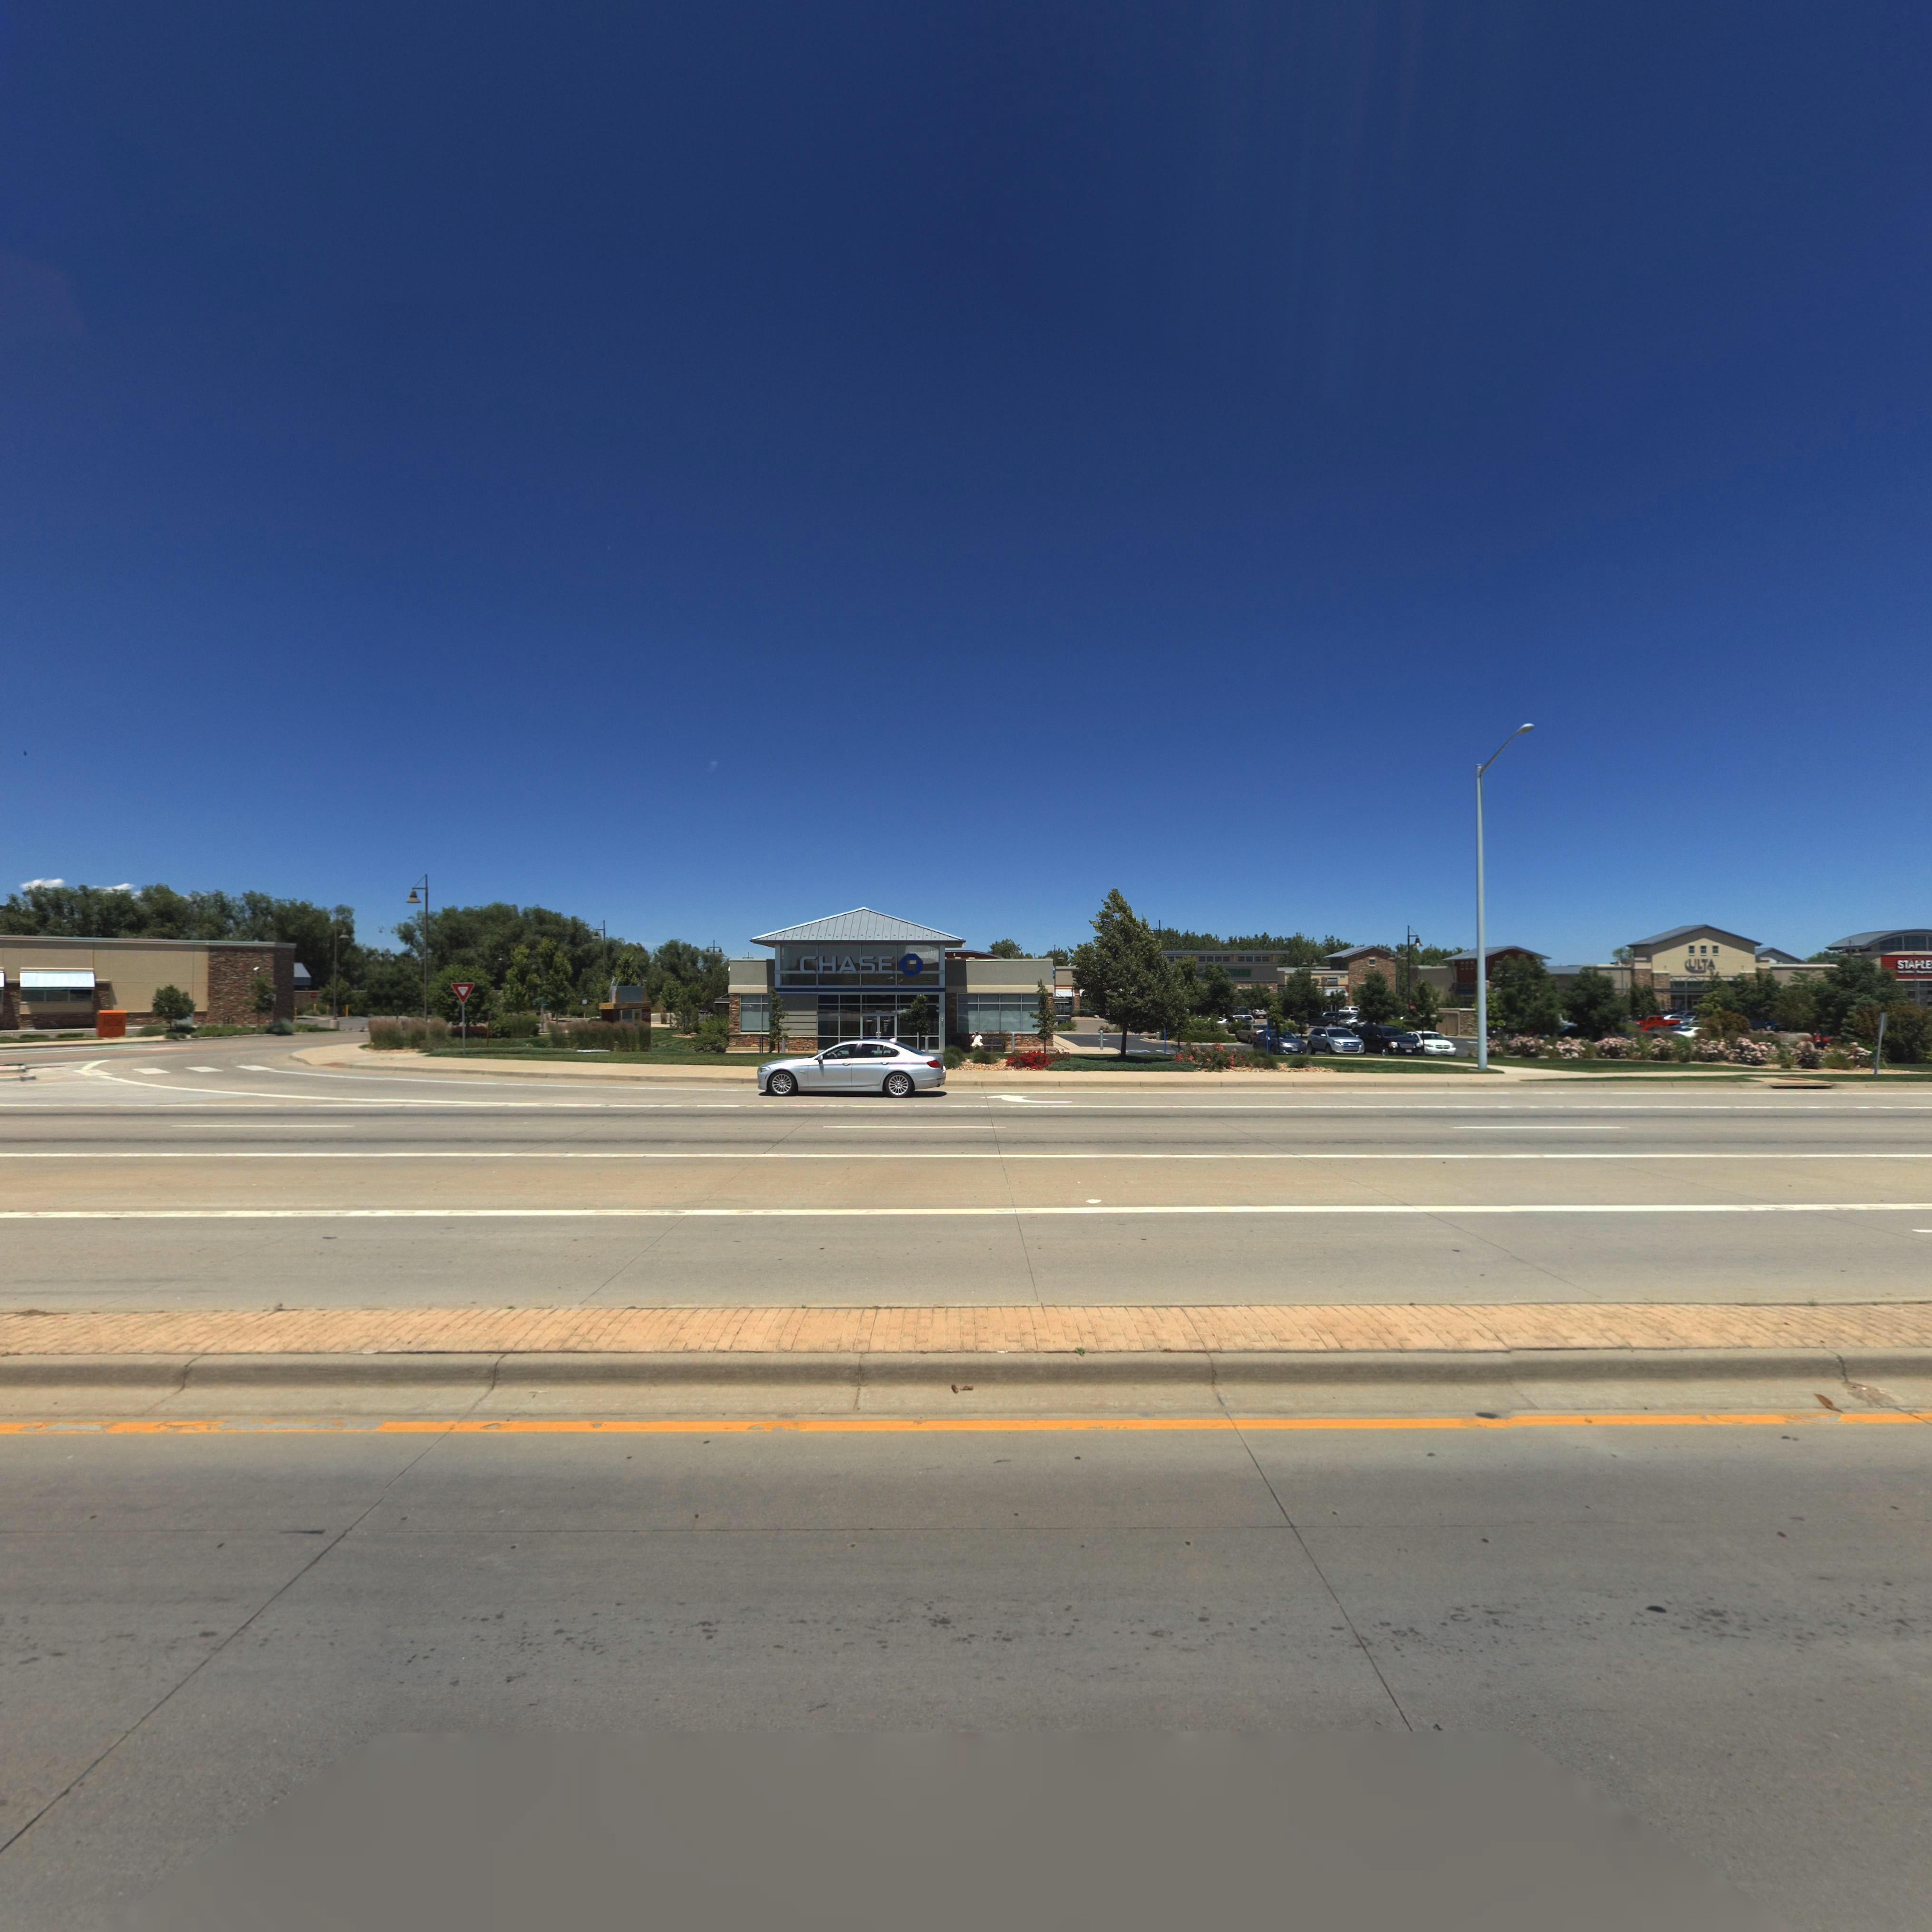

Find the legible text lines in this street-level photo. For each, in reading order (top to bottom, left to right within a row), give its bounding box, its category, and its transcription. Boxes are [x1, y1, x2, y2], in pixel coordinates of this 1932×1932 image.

[799, 956, 894, 974] BusinessName: CHASE
[1689, 958, 1715, 969] BusinessName: ULTA
[1896, 960, 1931, 968] BusinessName: STAPLE
[1230, 969, 1252, 976] BusinessName: REE